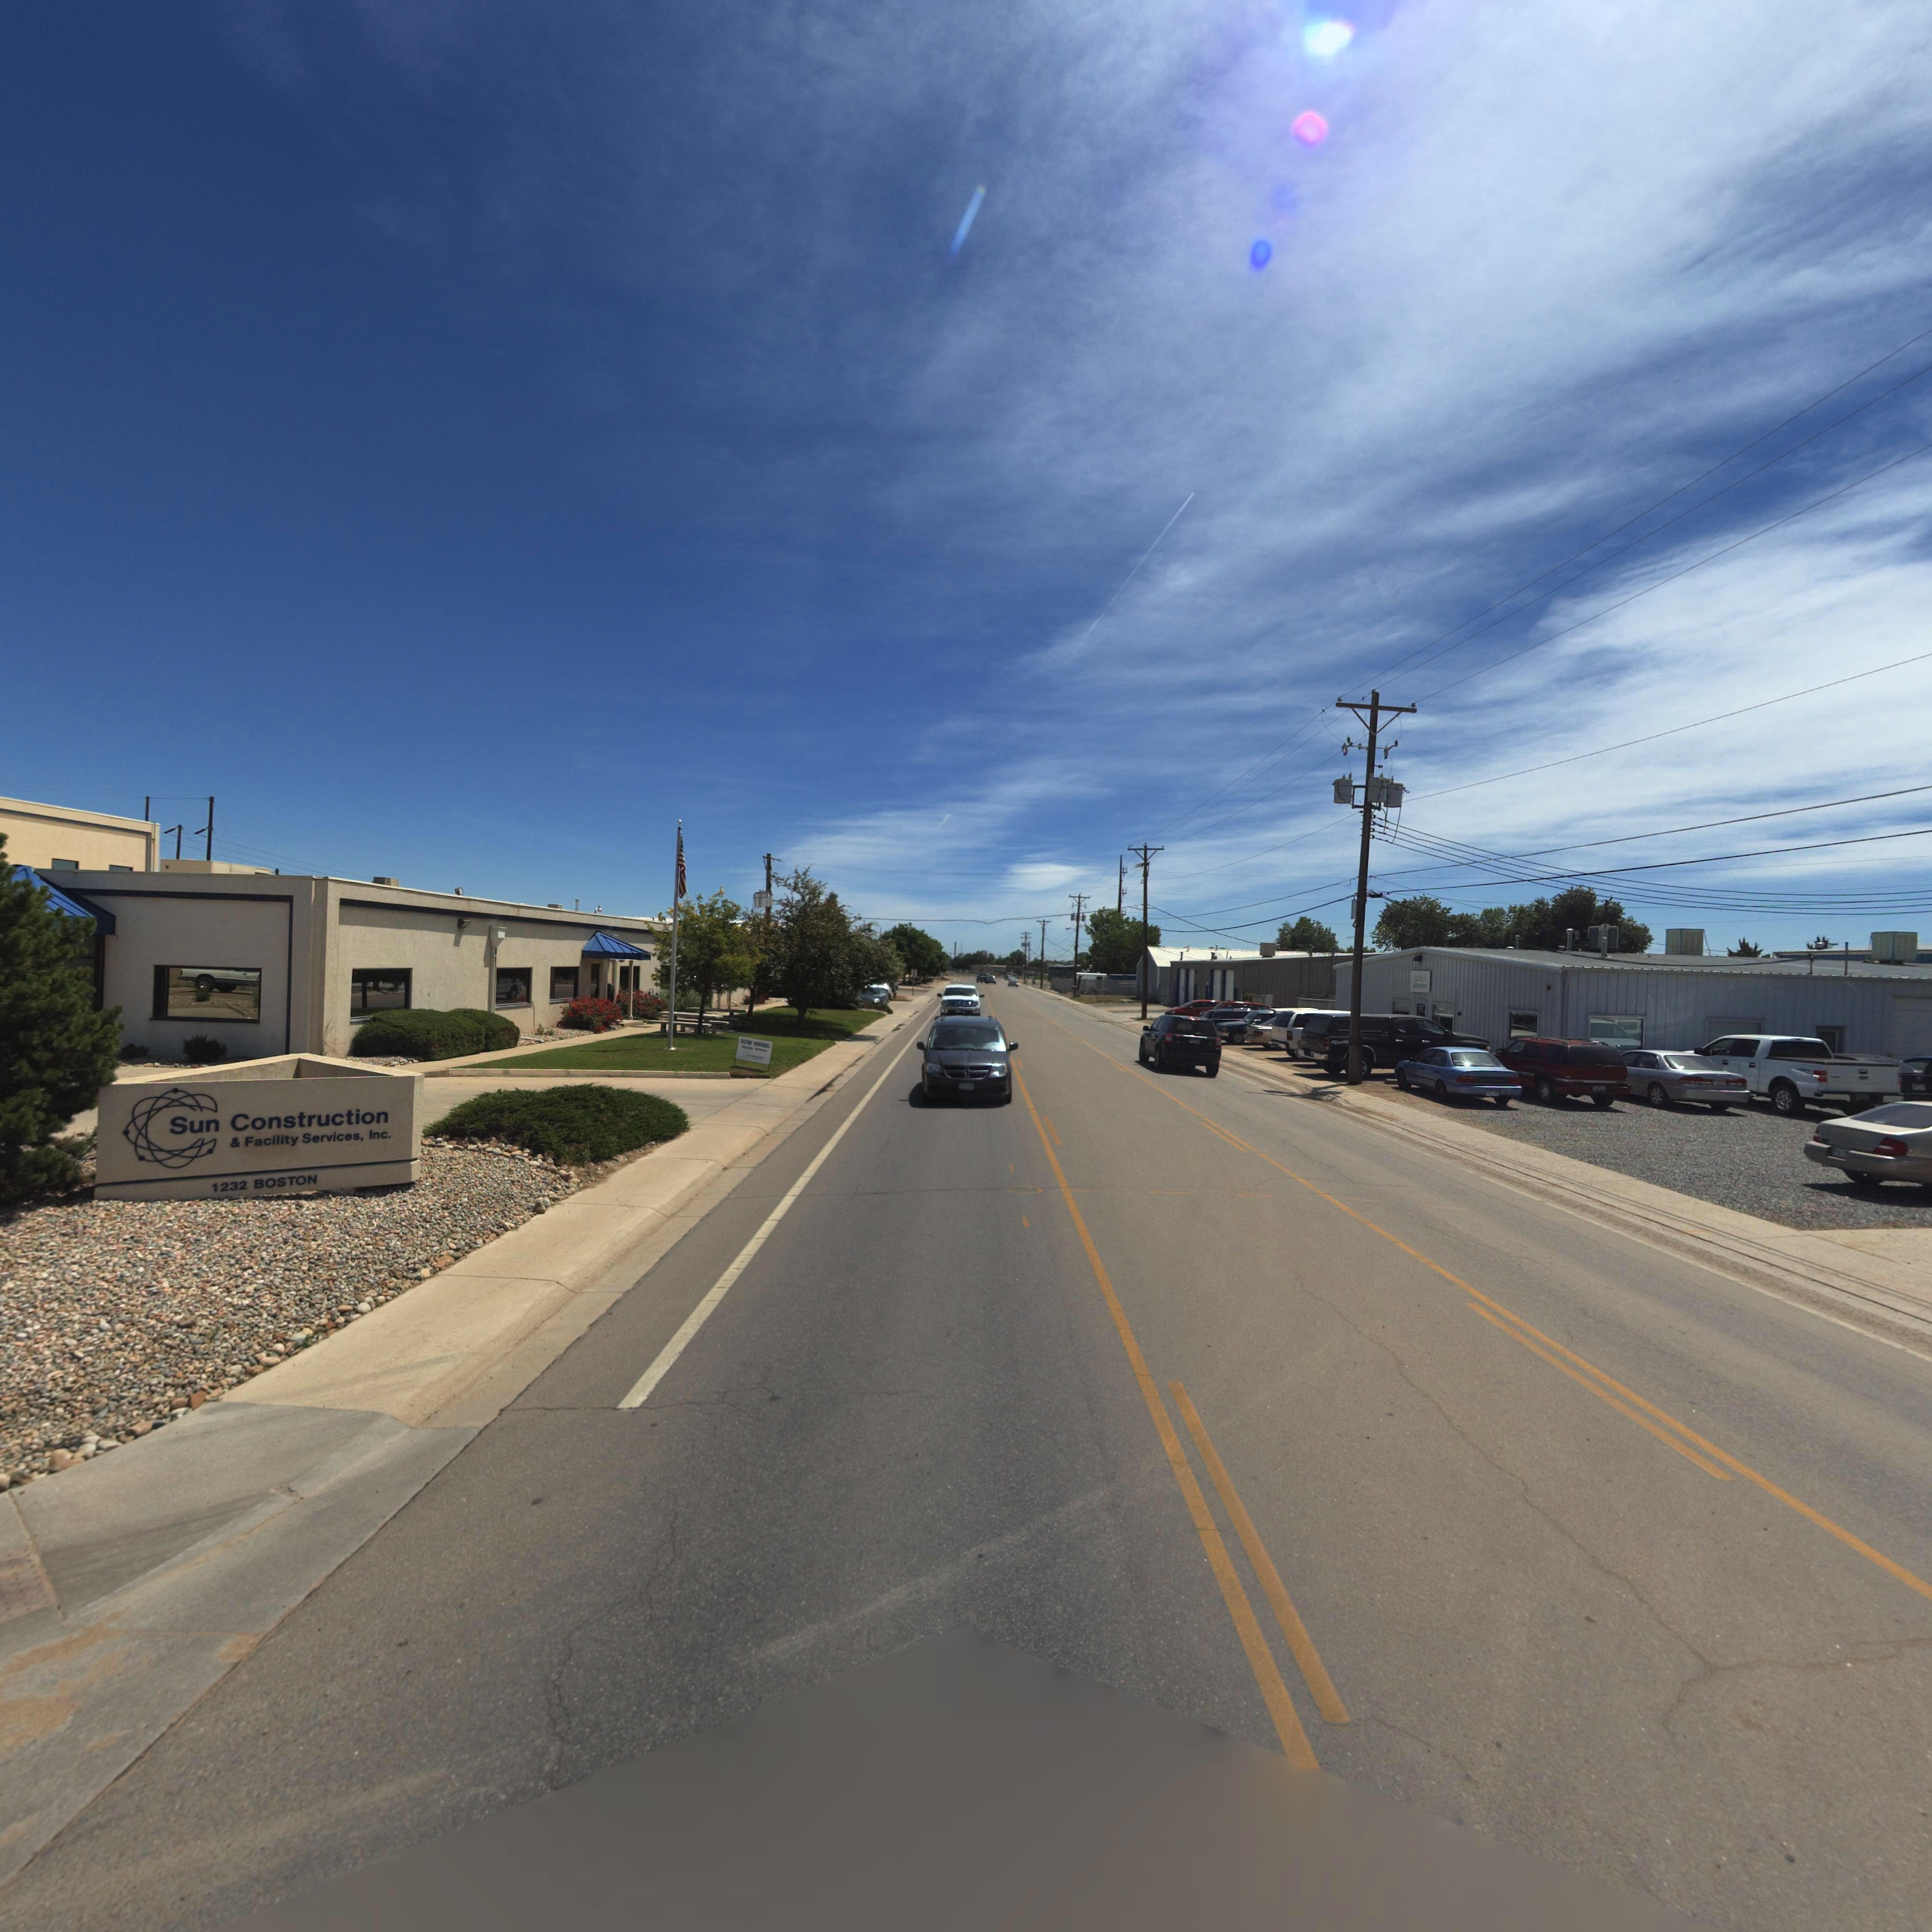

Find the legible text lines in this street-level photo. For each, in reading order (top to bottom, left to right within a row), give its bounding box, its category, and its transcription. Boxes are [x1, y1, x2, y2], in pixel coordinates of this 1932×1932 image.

[169, 1108, 388, 1135] BusinessName: Sun Construction
[229, 1128, 392, 1150] BusinessName: & Facility Services, Inc.
[210, 1180, 247, 1192] StreetNumber: 1232
[253, 1174, 318, 1189] StreetName: BOSTON